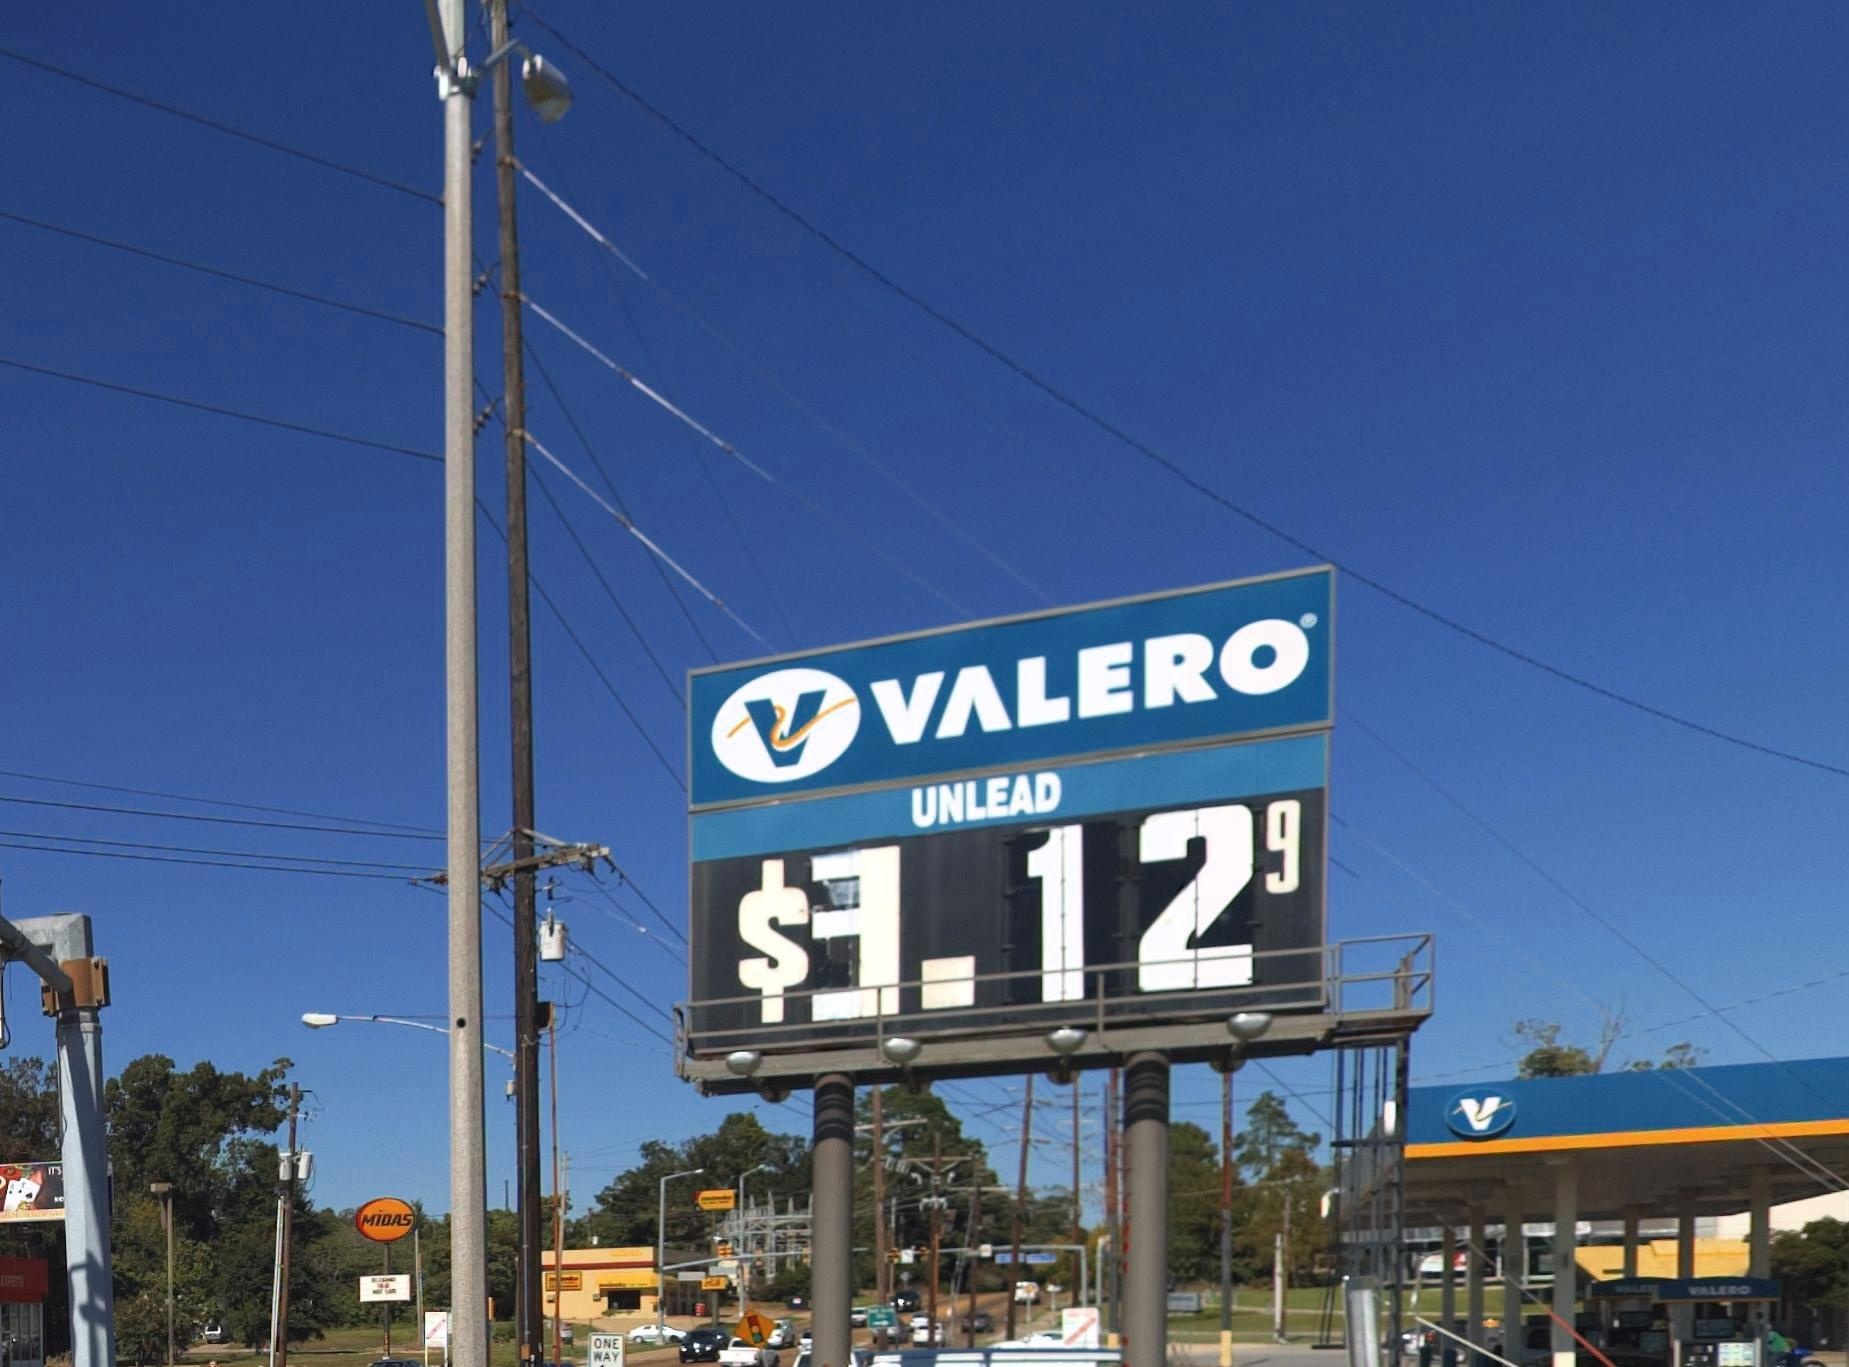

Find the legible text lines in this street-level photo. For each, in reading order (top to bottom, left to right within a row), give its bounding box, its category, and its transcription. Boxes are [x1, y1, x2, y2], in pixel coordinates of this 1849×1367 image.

[865, 612, 1315, 749] BusinessName: VALERO
[739, 686, 830, 771] None: V
[910, 767, 1066, 831] None: UNLEAD
[809, 795, 1305, 1025] None: 3.12 9
[1455, 1094, 1506, 1133] None: V
[360, 1213, 414, 1227] BusinessName: MIDAS
[1686, 1284, 1753, 1297] BusinessName: VALERO
[592, 1350, 620, 1364] None: WAY
[593, 1337, 620, 1350] None: ONE